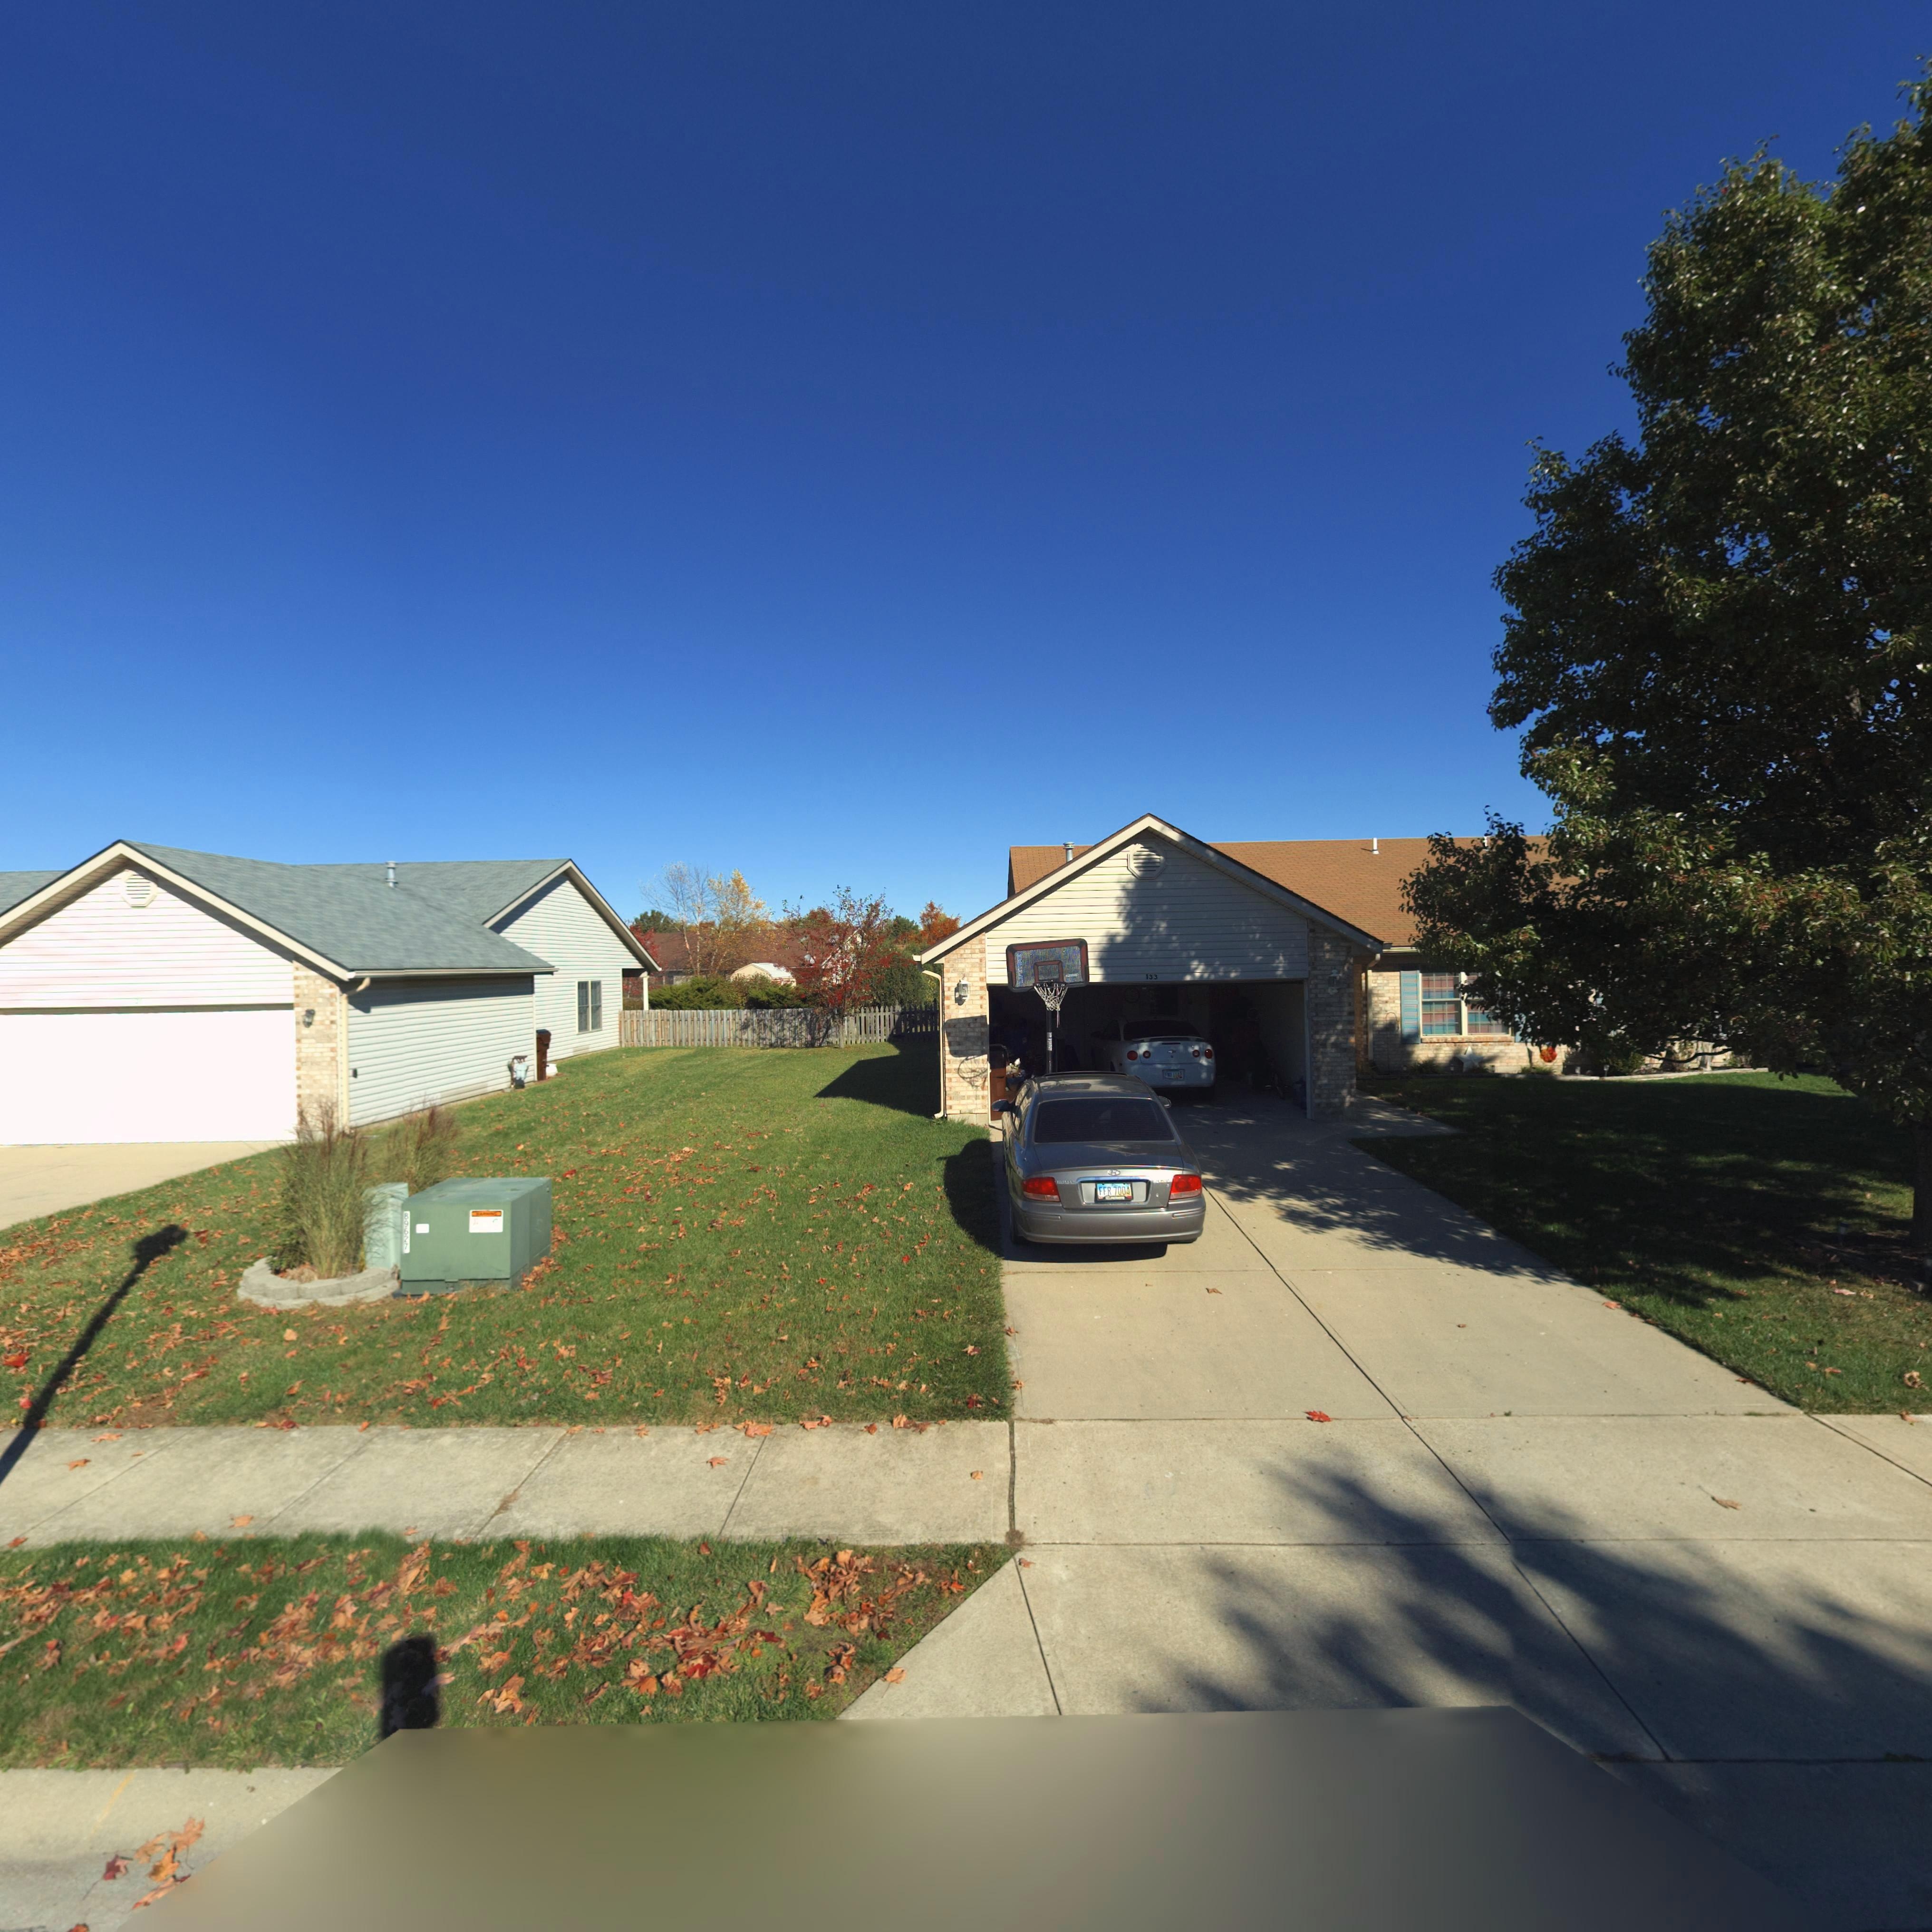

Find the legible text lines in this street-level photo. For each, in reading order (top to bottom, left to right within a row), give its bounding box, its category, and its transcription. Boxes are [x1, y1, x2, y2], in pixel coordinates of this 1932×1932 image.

[1146, 973, 1158, 980] StreetNumber: 133
[1098, 1185, 1130, 1196] None: FFR 7004